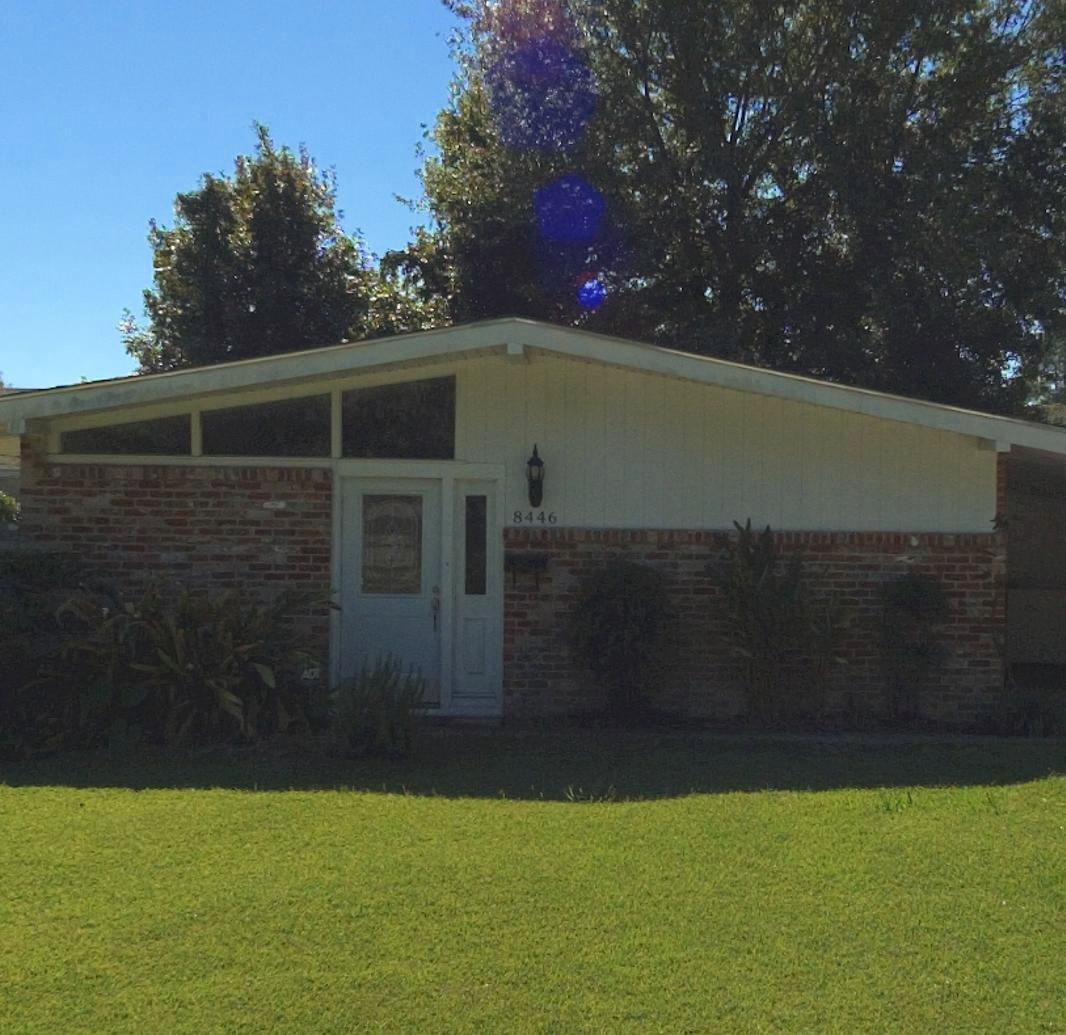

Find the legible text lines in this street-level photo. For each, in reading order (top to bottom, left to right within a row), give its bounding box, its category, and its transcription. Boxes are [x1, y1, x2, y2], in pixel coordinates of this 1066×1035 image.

[511, 508, 559, 526] StreetNumber: 8446